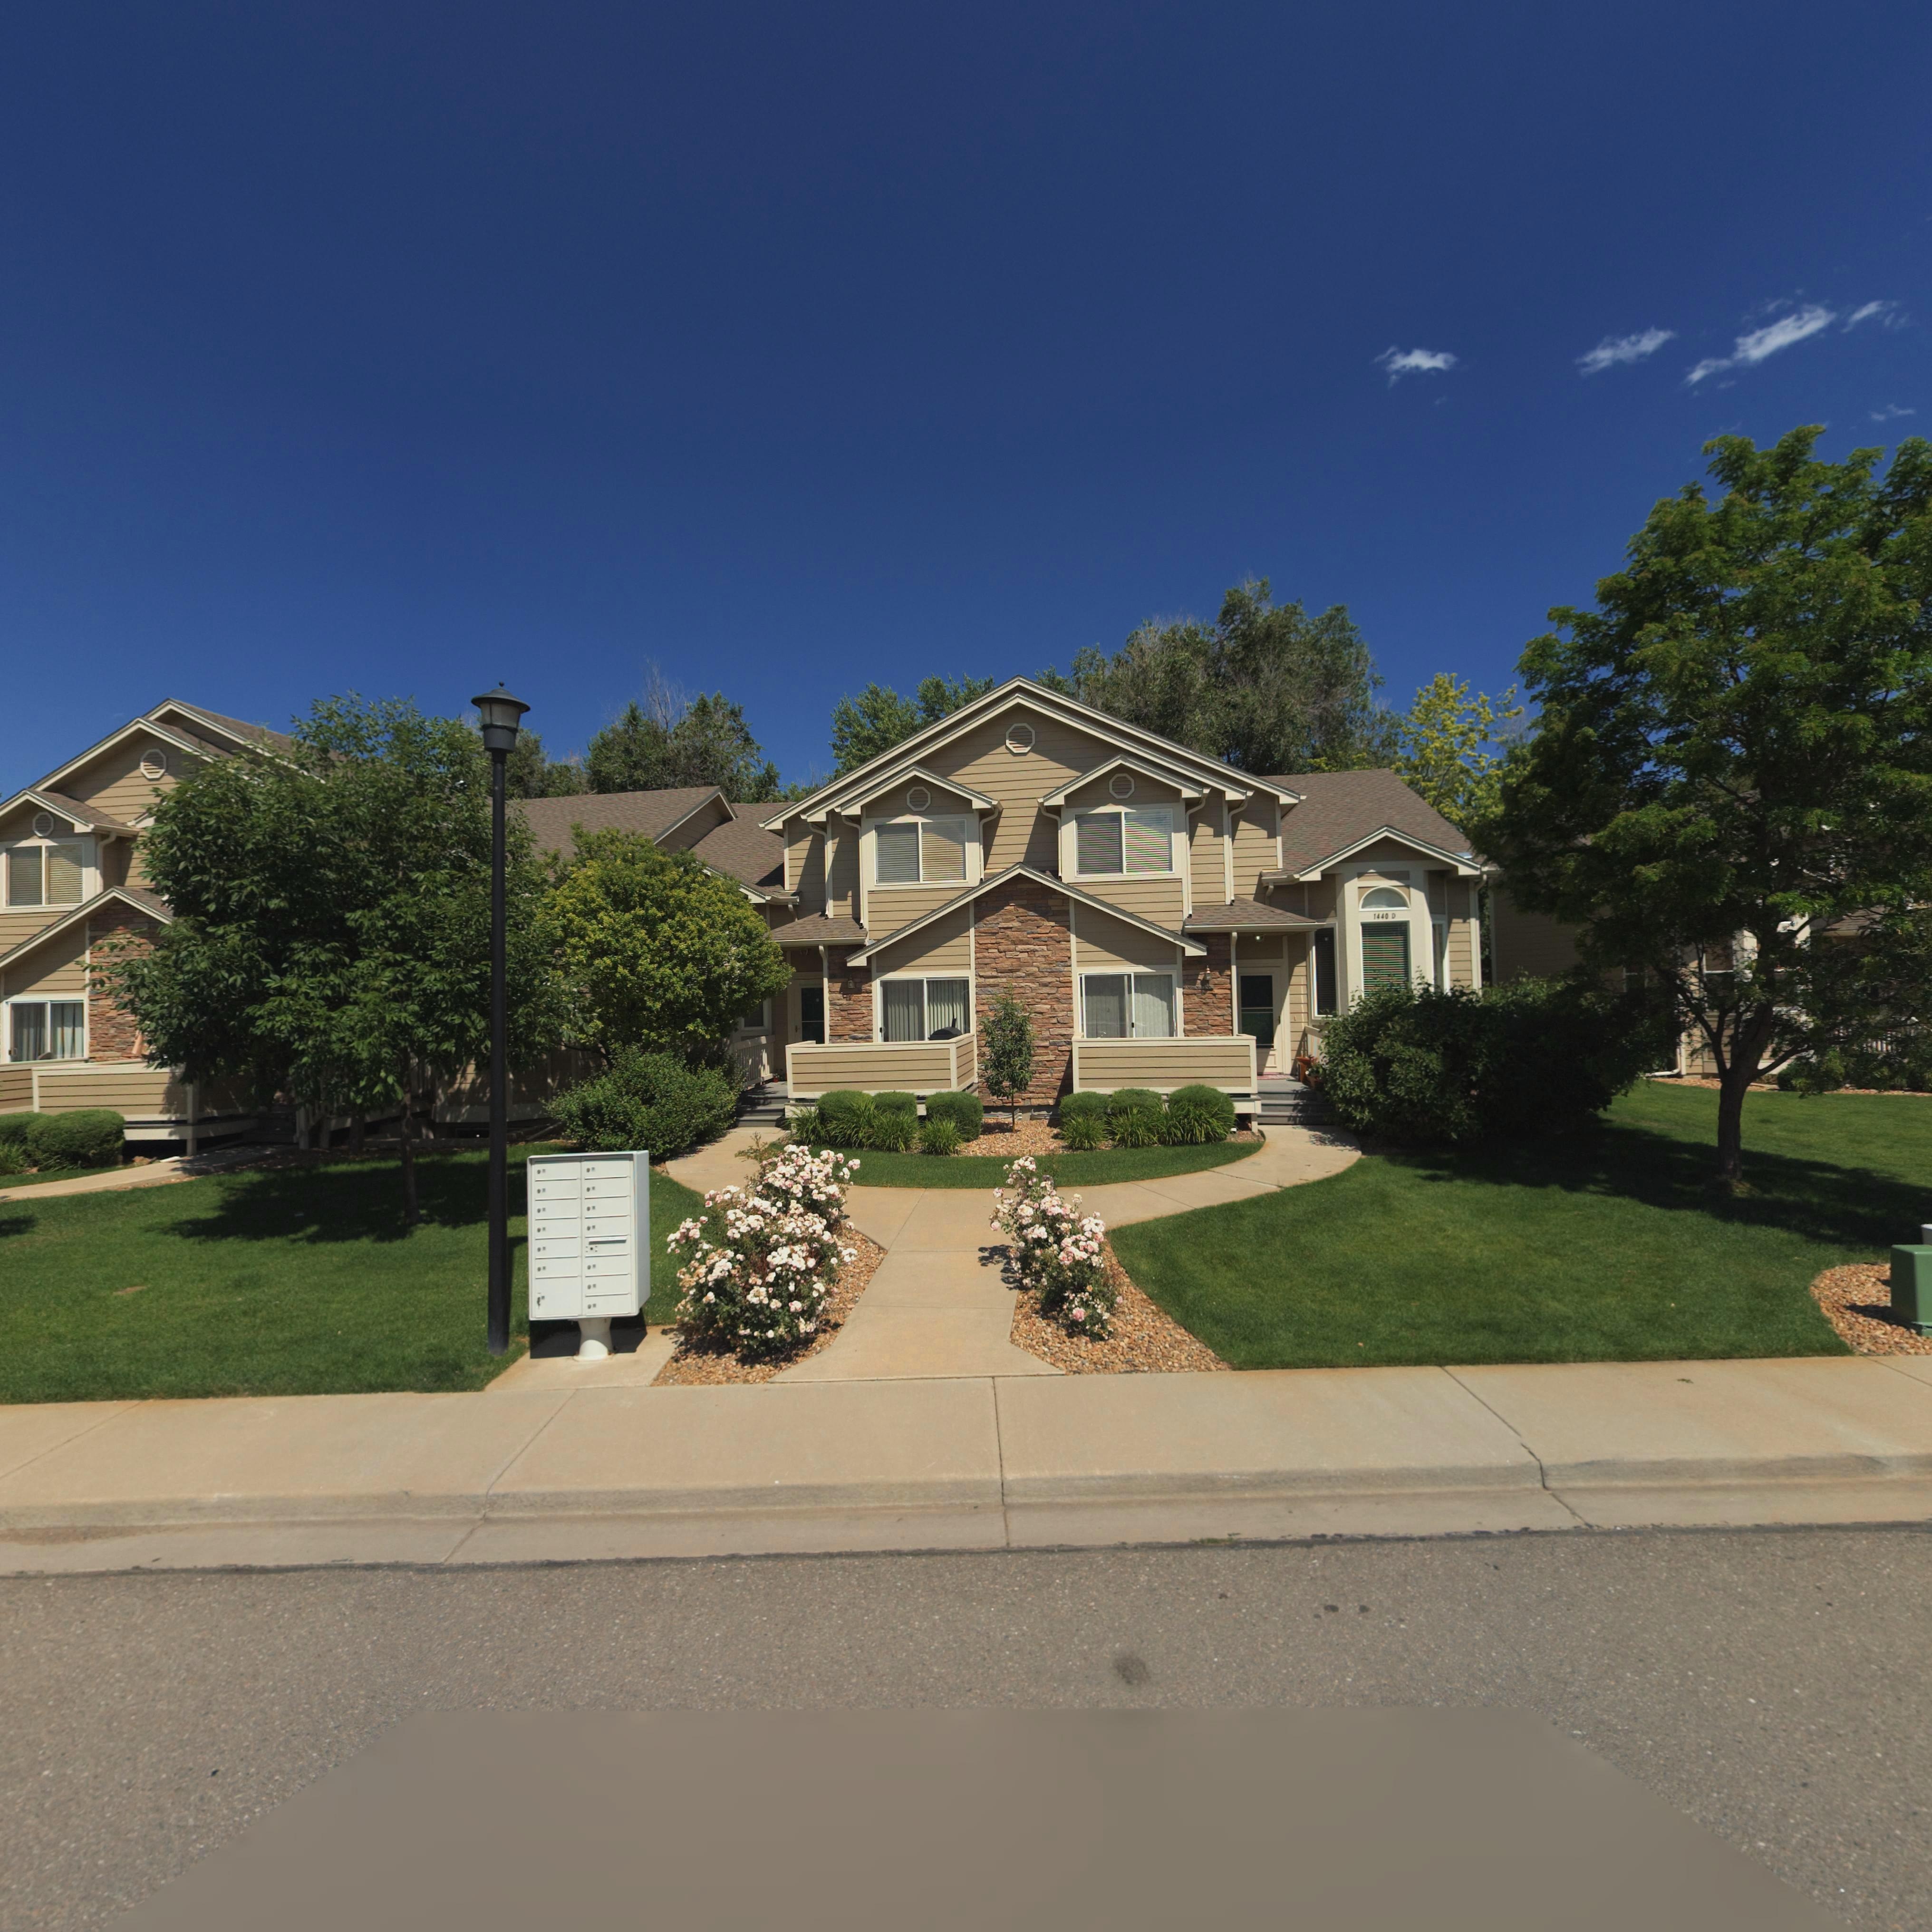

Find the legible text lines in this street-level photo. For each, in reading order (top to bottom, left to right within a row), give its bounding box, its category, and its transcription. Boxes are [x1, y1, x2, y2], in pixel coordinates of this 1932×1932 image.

[1373, 913, 1395, 920] StreetNumber: 1440 D